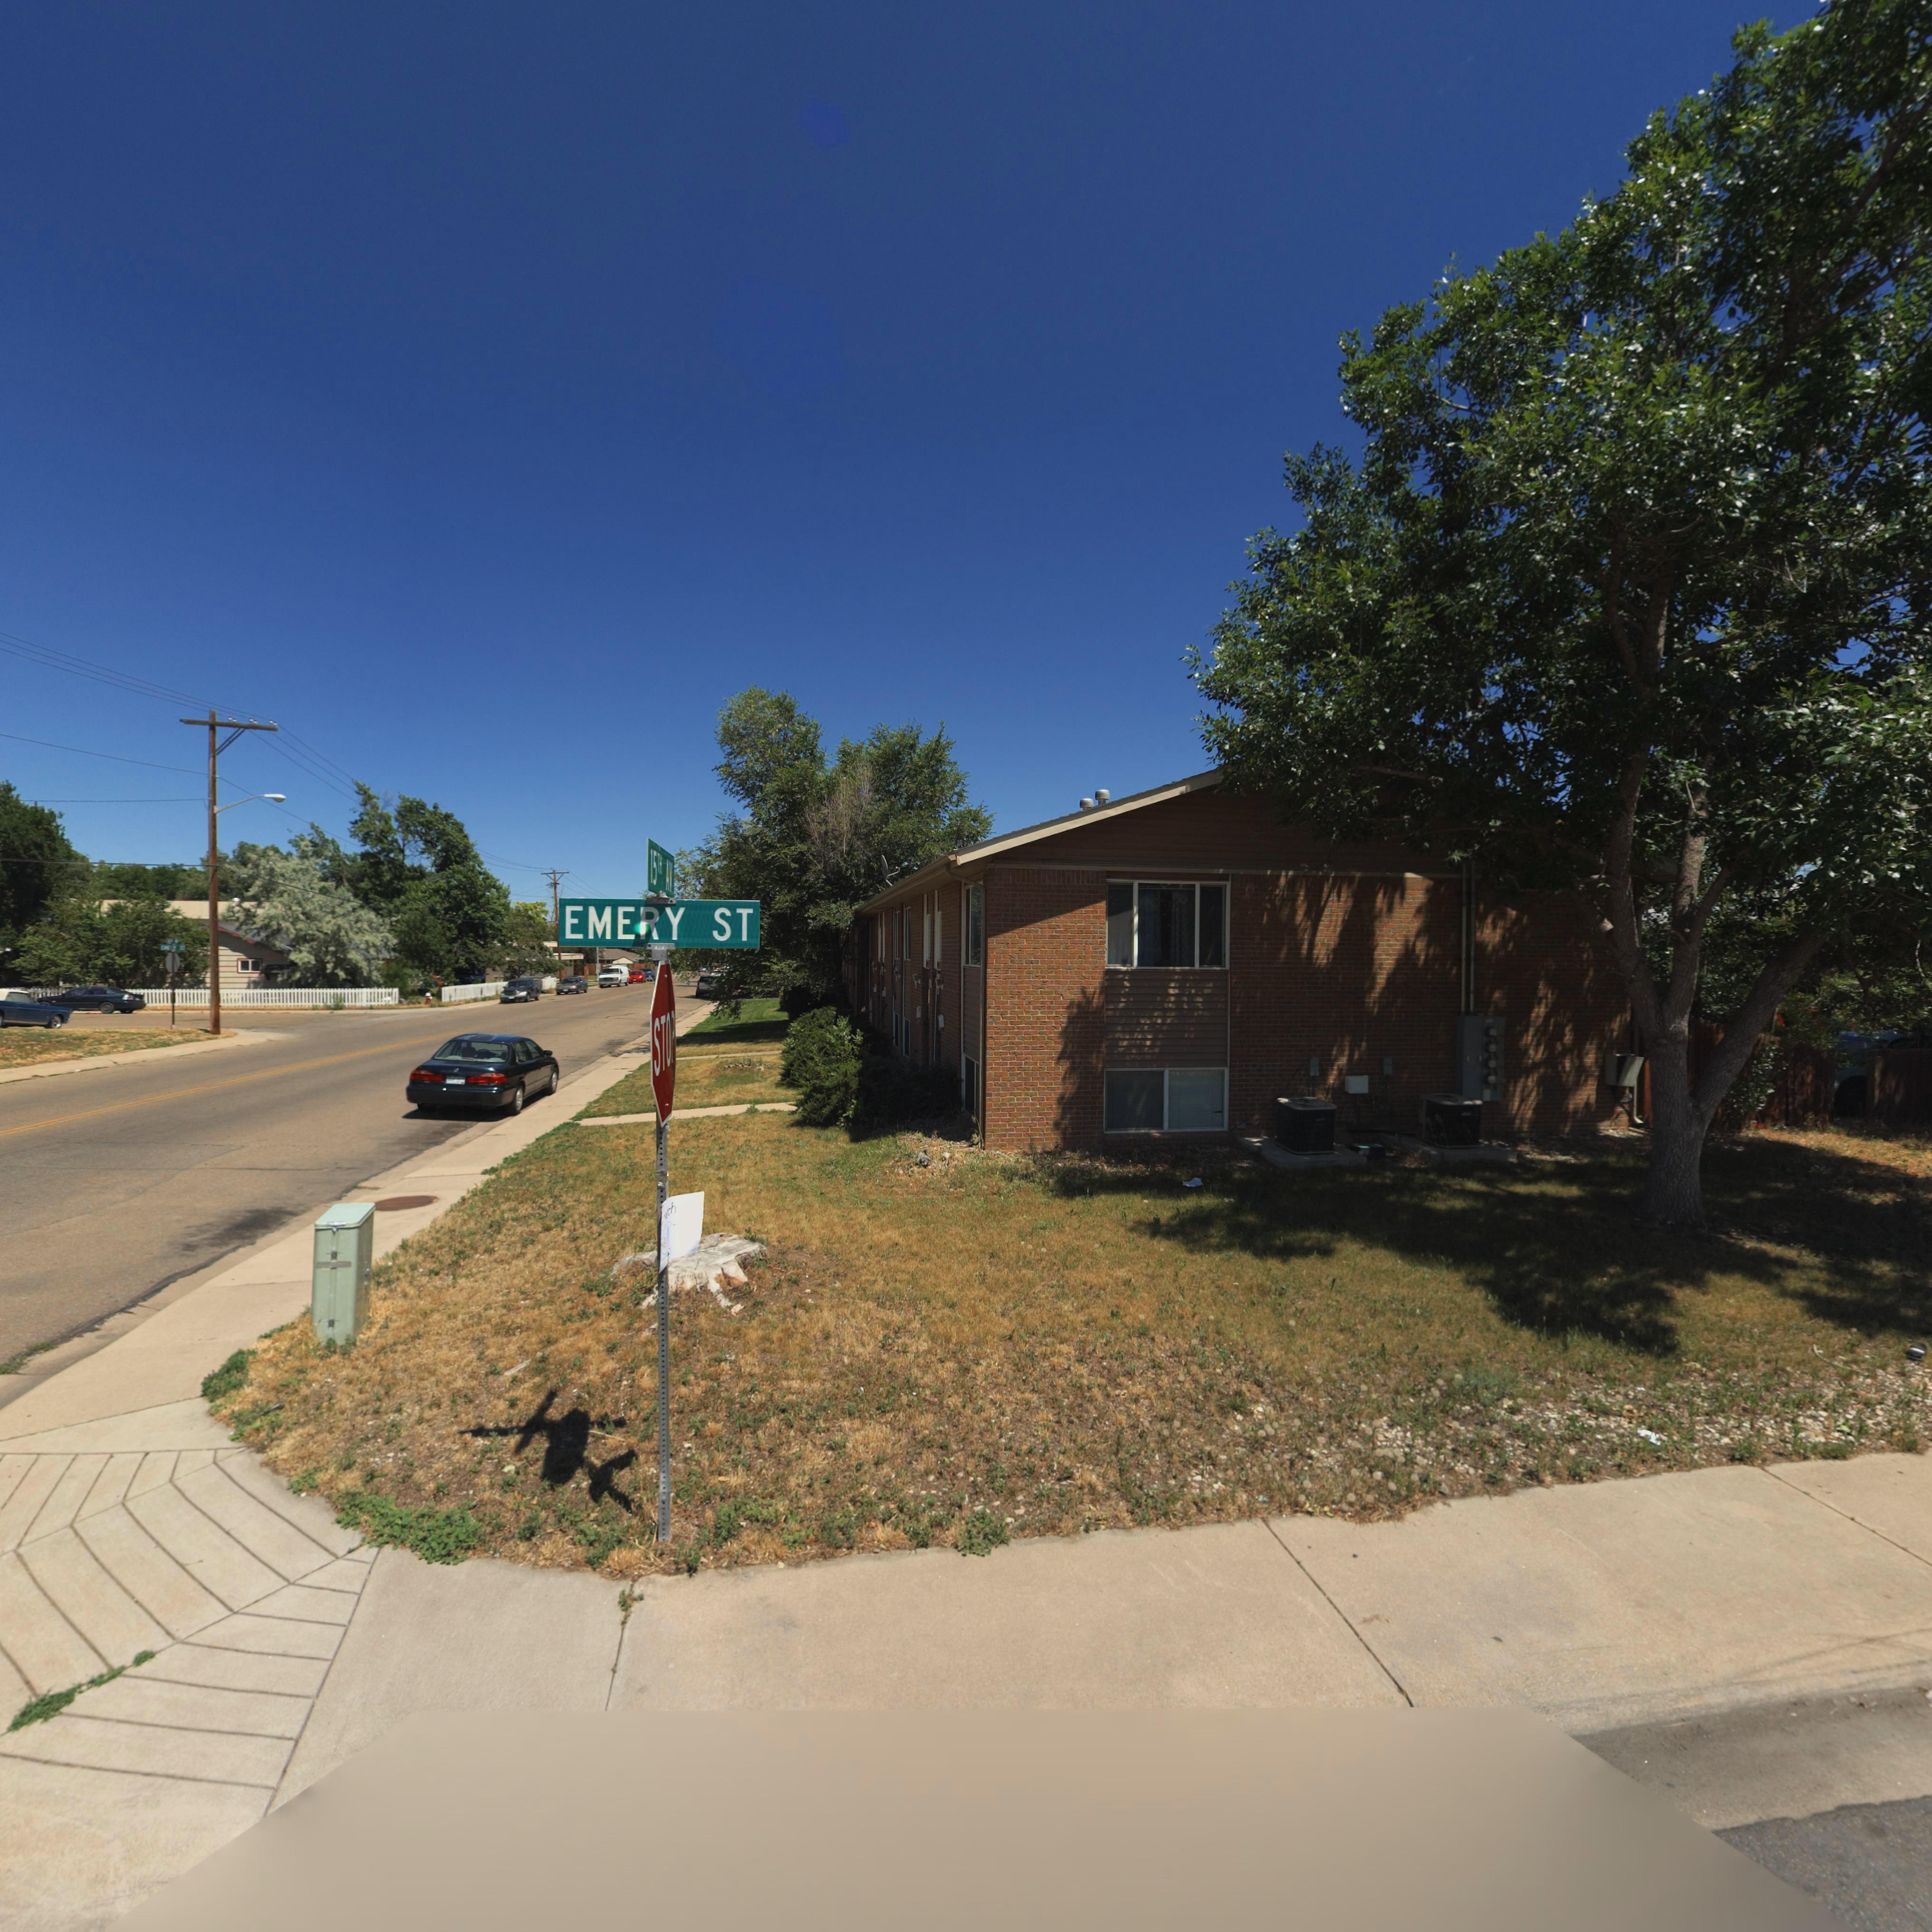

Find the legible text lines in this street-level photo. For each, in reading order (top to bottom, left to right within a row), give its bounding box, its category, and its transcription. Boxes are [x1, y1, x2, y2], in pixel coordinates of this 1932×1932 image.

[650, 847, 673, 892] StreetName: 15TH AV
[565, 904, 753, 941] StreetName: EMERY ST
[160, 945, 185, 950] StreetName: EMERY ST